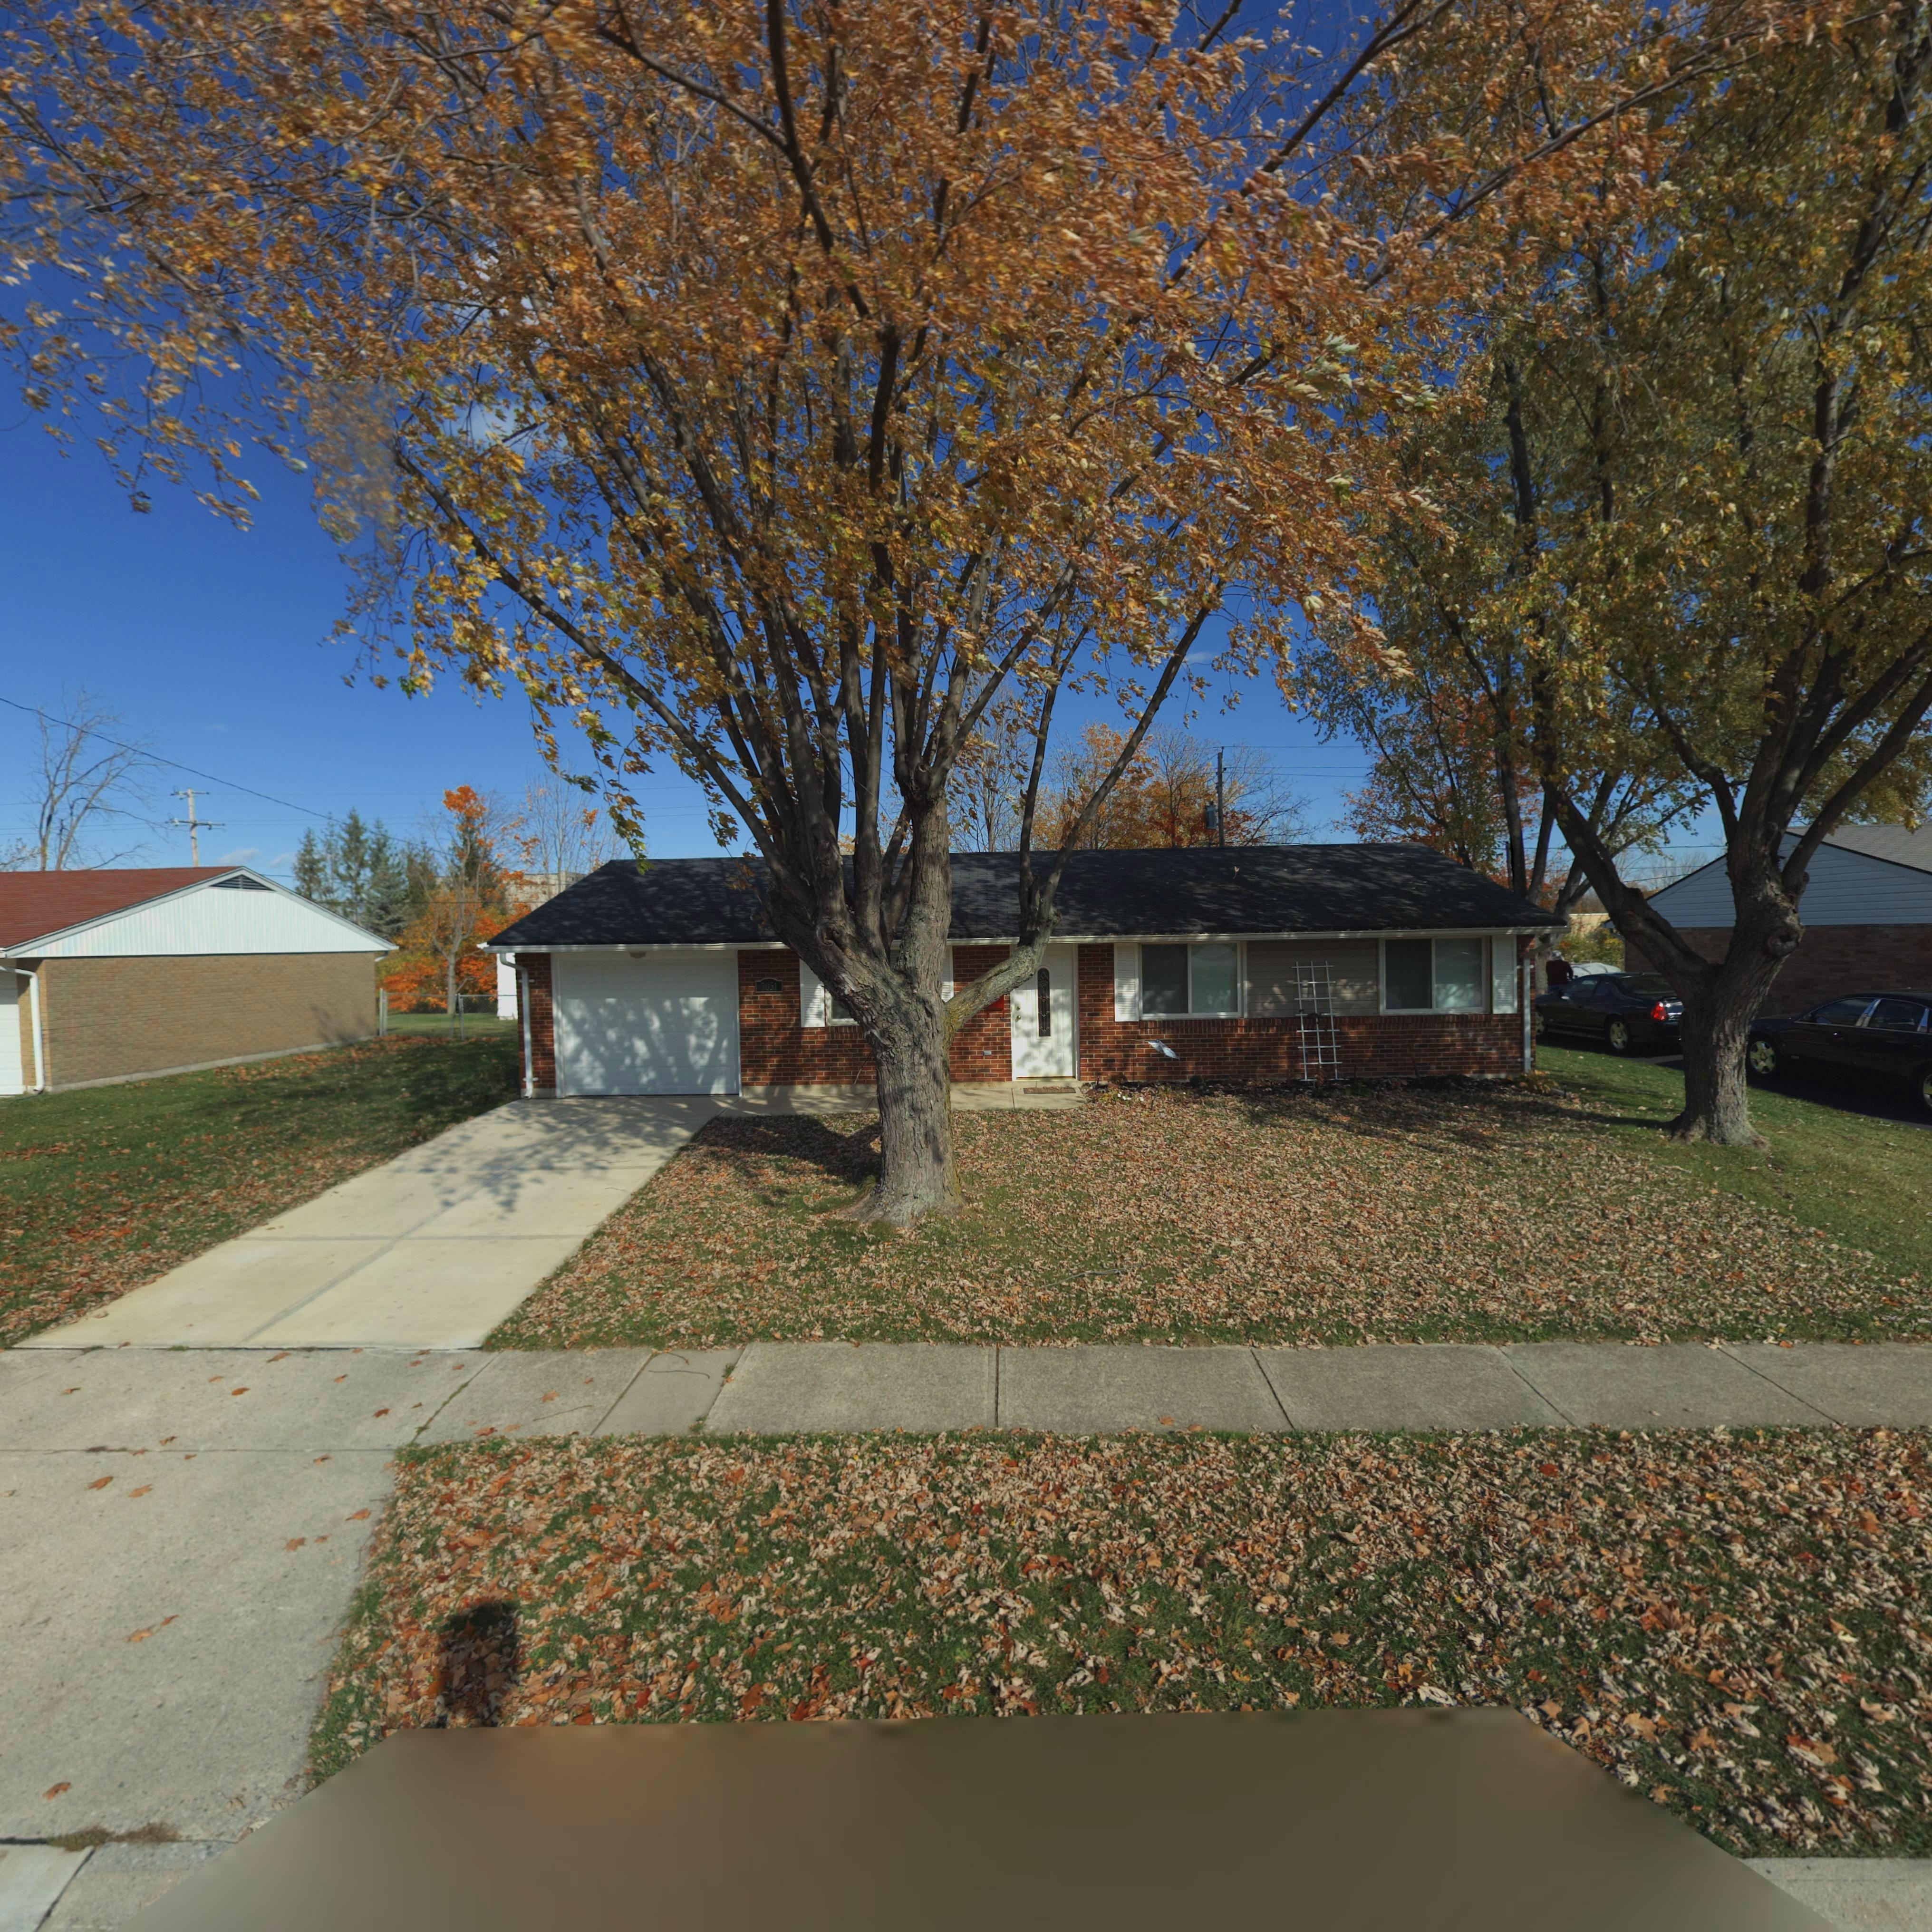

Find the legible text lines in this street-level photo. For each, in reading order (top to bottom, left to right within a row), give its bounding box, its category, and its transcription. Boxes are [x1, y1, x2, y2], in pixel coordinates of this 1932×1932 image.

[760, 981, 778, 992] StreetNumber: 7051